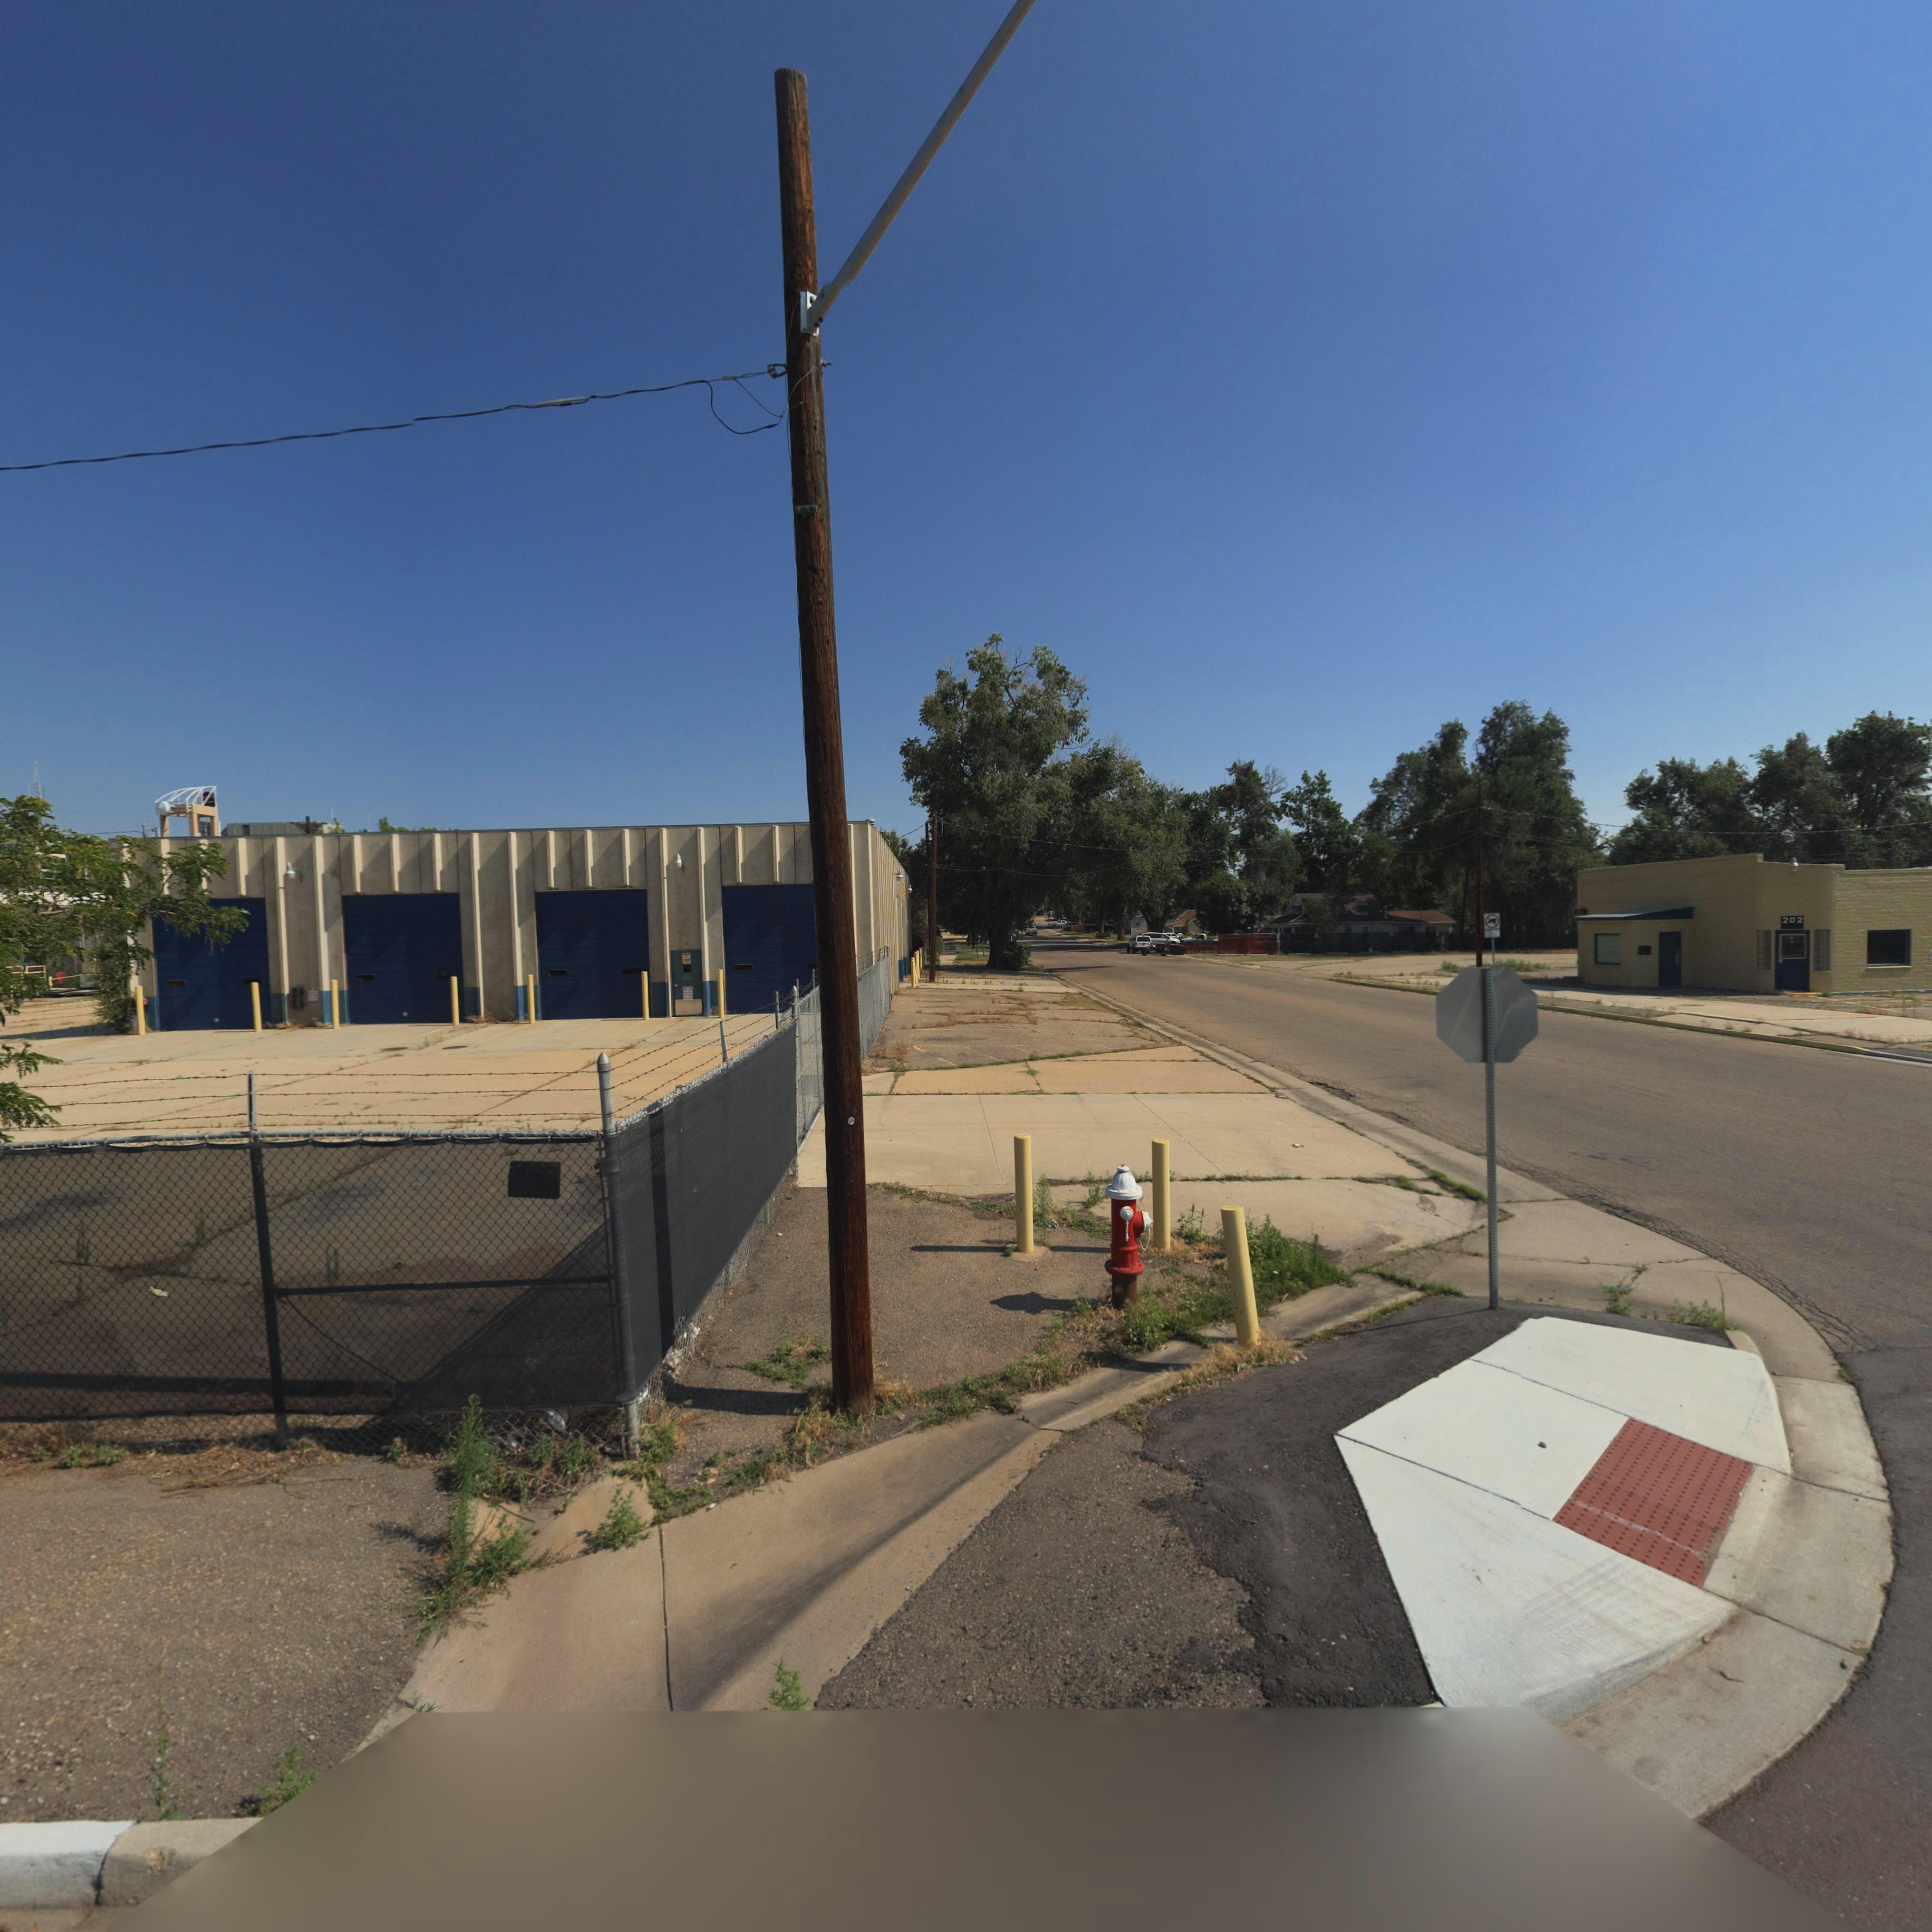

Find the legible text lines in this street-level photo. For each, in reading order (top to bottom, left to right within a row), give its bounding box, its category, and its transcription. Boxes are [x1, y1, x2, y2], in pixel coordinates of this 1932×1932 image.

[1781, 916, 1803, 923] StreetNumber: 202